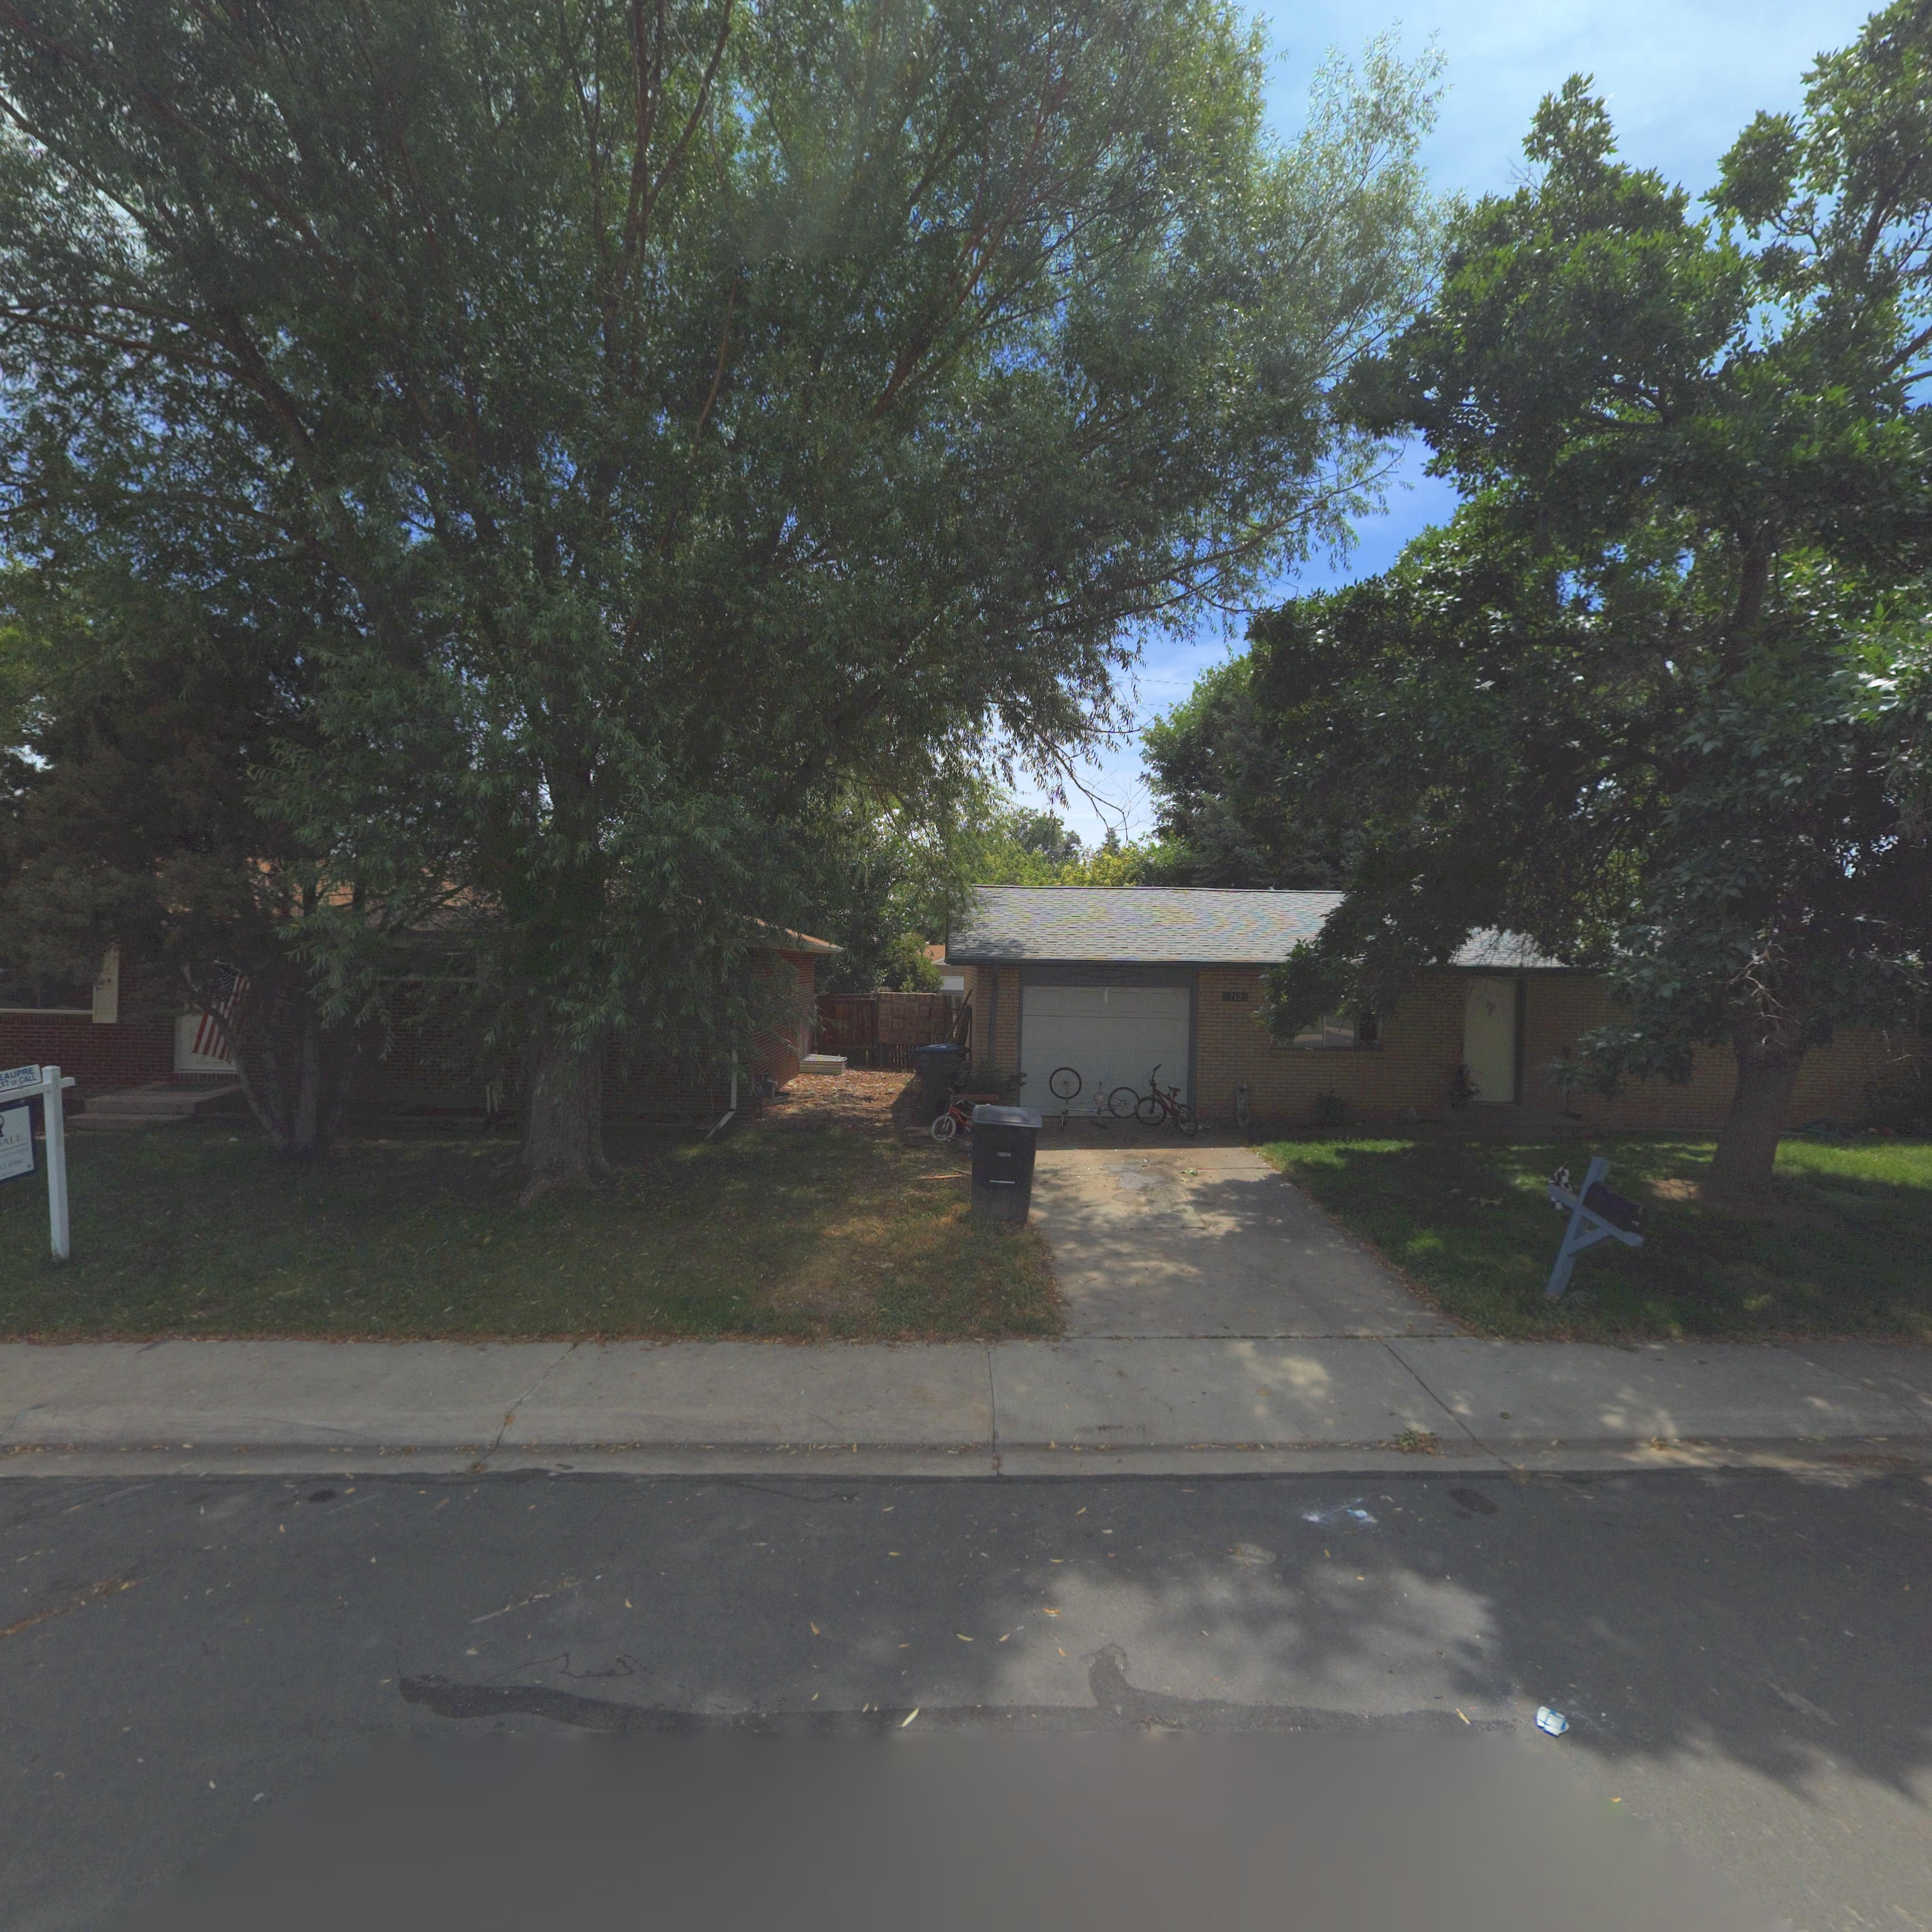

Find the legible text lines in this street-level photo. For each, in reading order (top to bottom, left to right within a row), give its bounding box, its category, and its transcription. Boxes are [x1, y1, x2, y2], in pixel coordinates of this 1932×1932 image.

[1227, 992, 1243, 1001] StreetNumber: 712